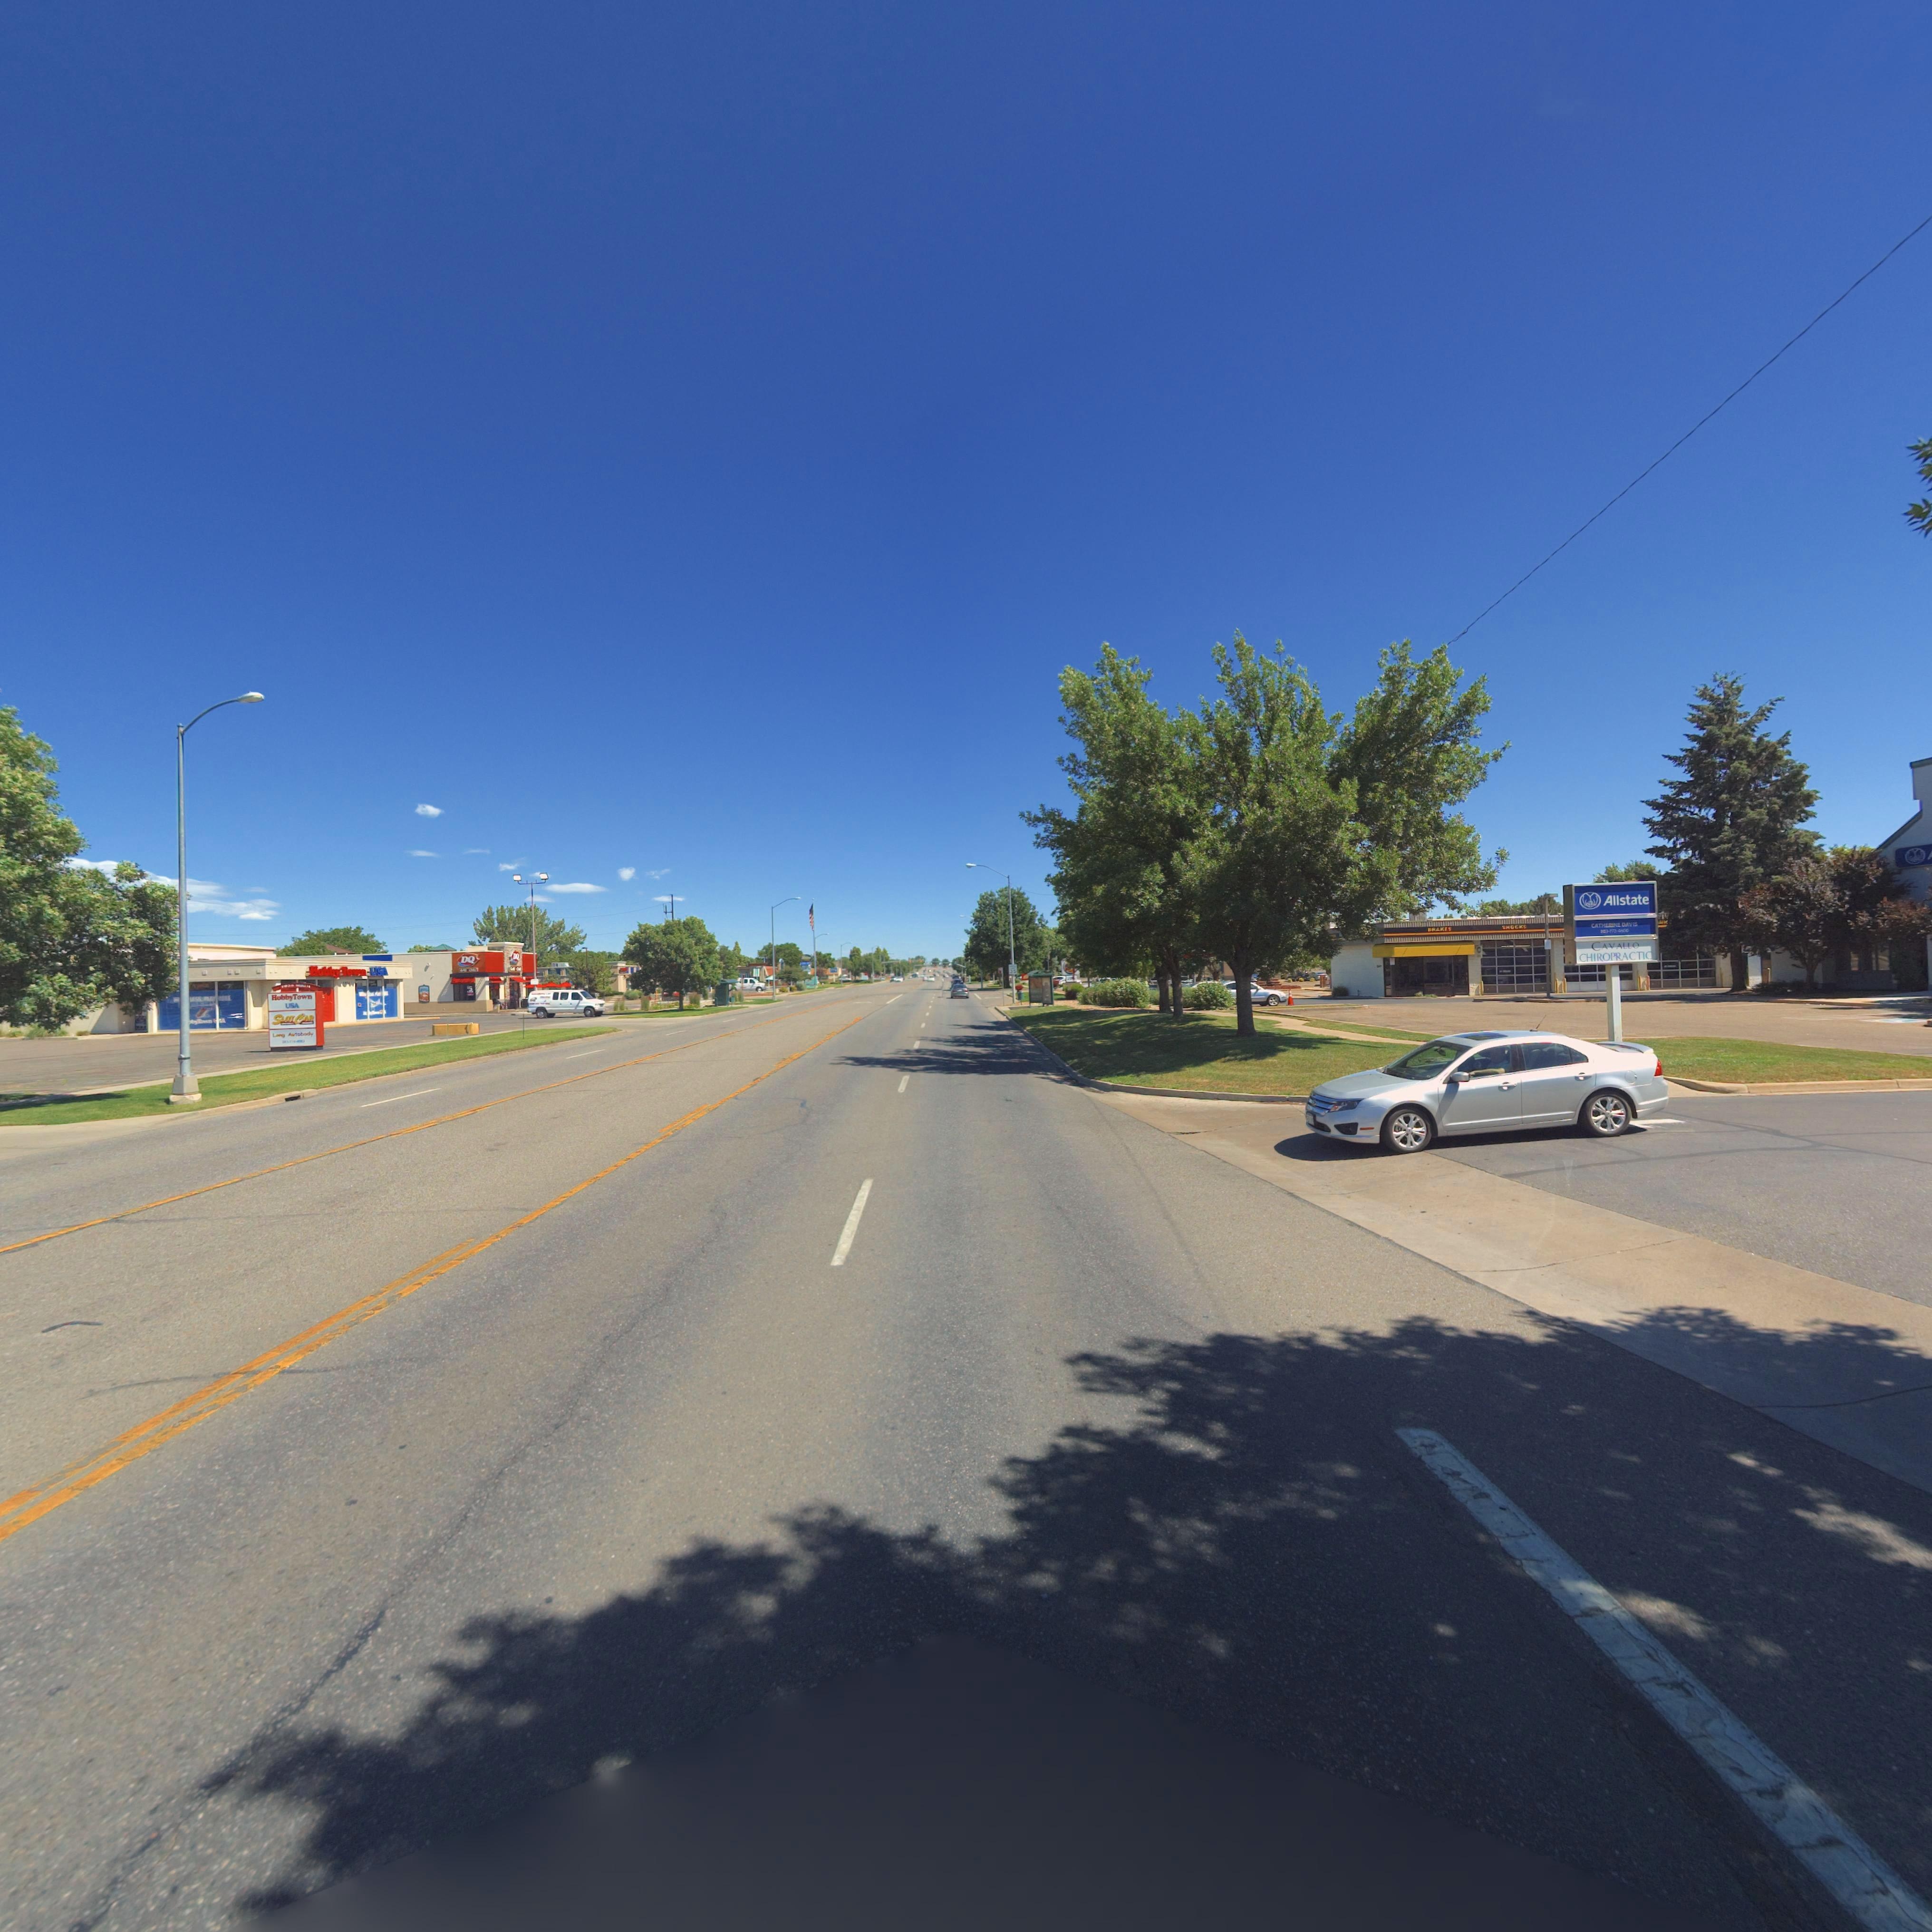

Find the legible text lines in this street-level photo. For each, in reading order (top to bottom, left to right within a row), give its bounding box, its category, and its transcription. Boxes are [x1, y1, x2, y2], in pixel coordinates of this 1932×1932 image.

[1602, 893, 1650, 907] BusinessName: Allstate
[1591, 940, 1640, 952] BusinessName: CAVALLO
[460, 955, 475, 964] BusinessName: DQ
[512, 953, 521, 961] BusinessName: DQ
[1578, 951, 1652, 963] BusinessName: CHIROPRACTIC
[309, 966, 389, 979] BusinessName: HobbyTown USA
[460, 968, 476, 972] BusinessName: Grill & Chill
[510, 966, 521, 971] BusinessName: G**** & C****
[271, 994, 312, 1002] BusinessName: HobbyTown
[284, 1002, 299, 1008] BusinessName: USA
[190, 1017, 226, 1025] BusinessName: byTown **A
[271, 1012, 315, 1025] BusinessName: SLOTCAR
[272, 1030, 314, 1039] BusinessName: Long Autobody